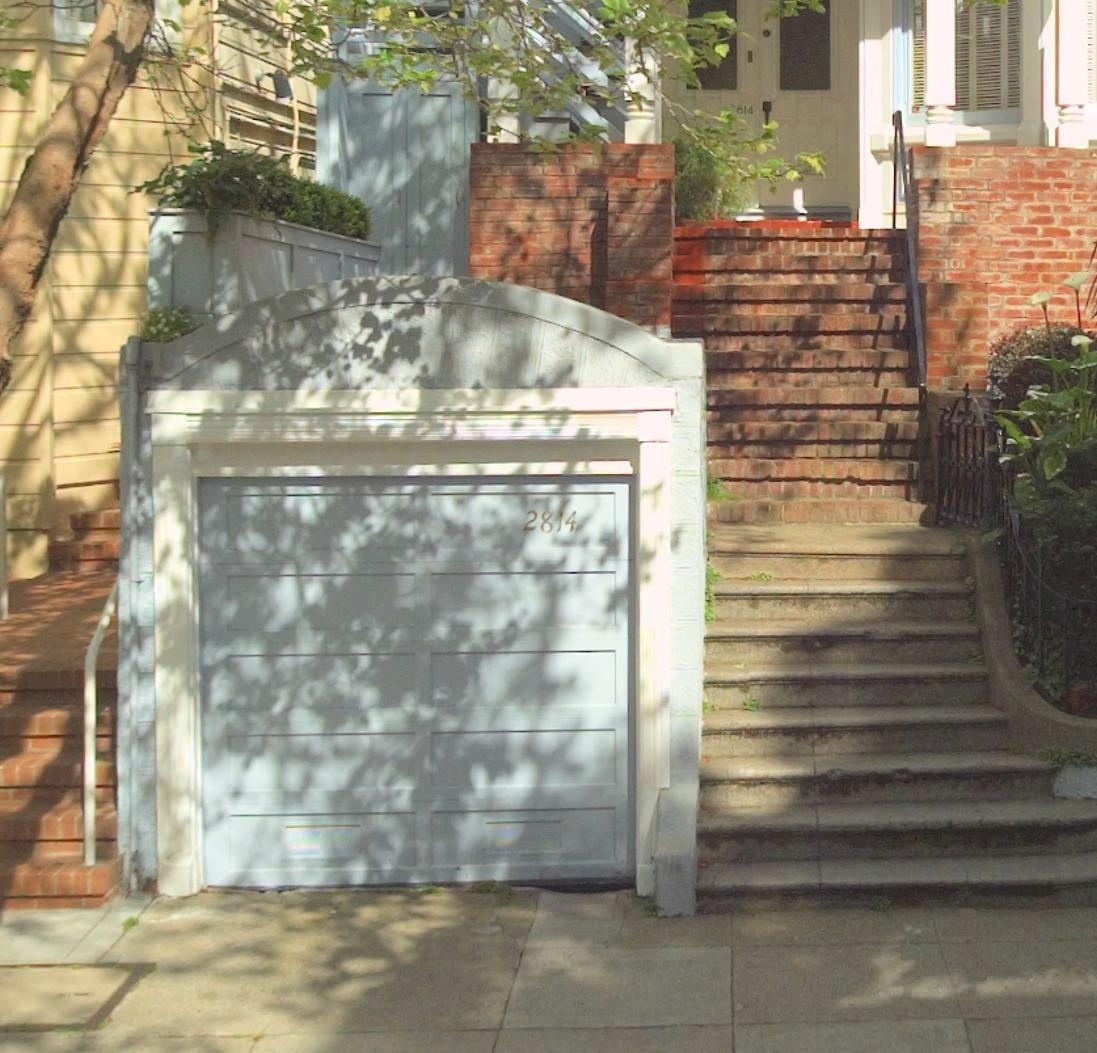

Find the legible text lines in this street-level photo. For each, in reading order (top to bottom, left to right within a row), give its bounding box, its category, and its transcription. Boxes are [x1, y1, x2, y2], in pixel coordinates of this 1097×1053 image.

[734, 102, 756, 117] StreetNumber: 814
[520, 507, 579, 536] StreetNumber: 2814